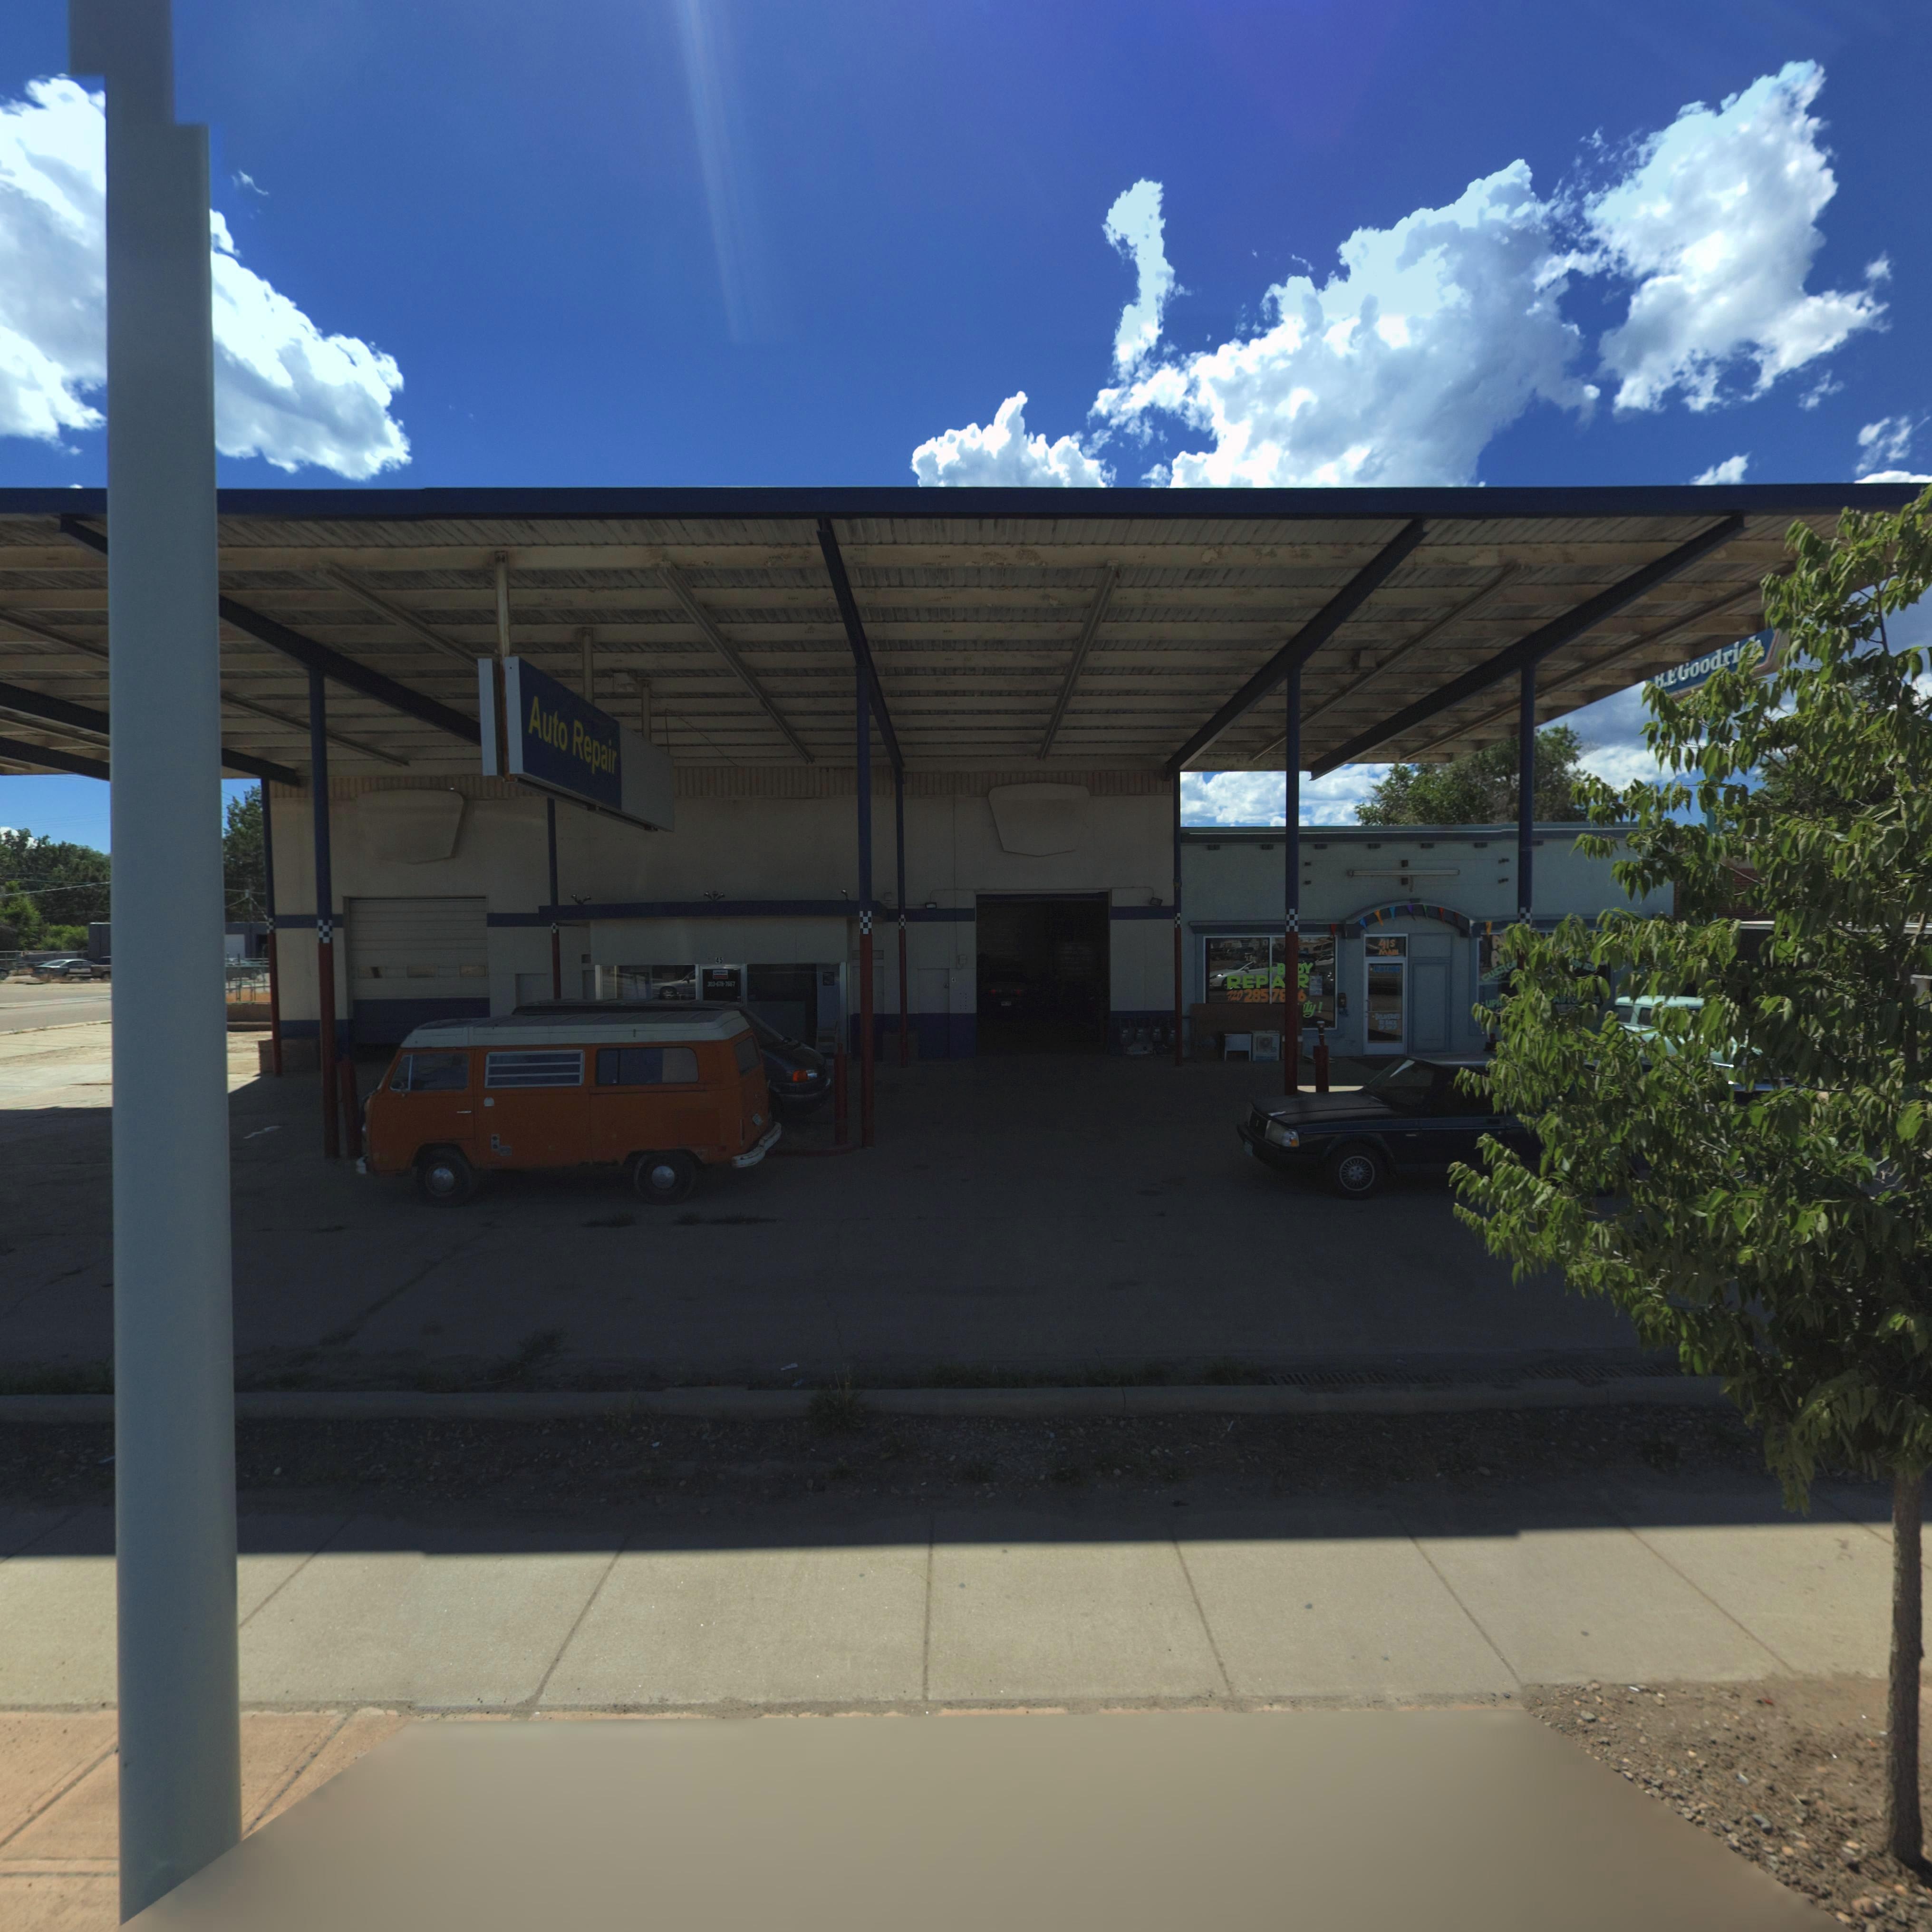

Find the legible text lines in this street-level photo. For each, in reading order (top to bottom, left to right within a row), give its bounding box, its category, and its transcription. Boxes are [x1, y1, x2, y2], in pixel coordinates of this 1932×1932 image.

[1377, 938, 1389, 949] StreetNumber: 41
[1389, 939, 1395, 947] StreetName: S
[1491, 935, 1503, 949] BusinessName: A
[1378, 949, 1399, 955] StreetName: MAIN
[715, 956, 723, 964] StreetNumber: 45
[1490, 949, 1503, 968] BusinessName: A
[1481, 965, 1505, 982] BusinessName: CUST